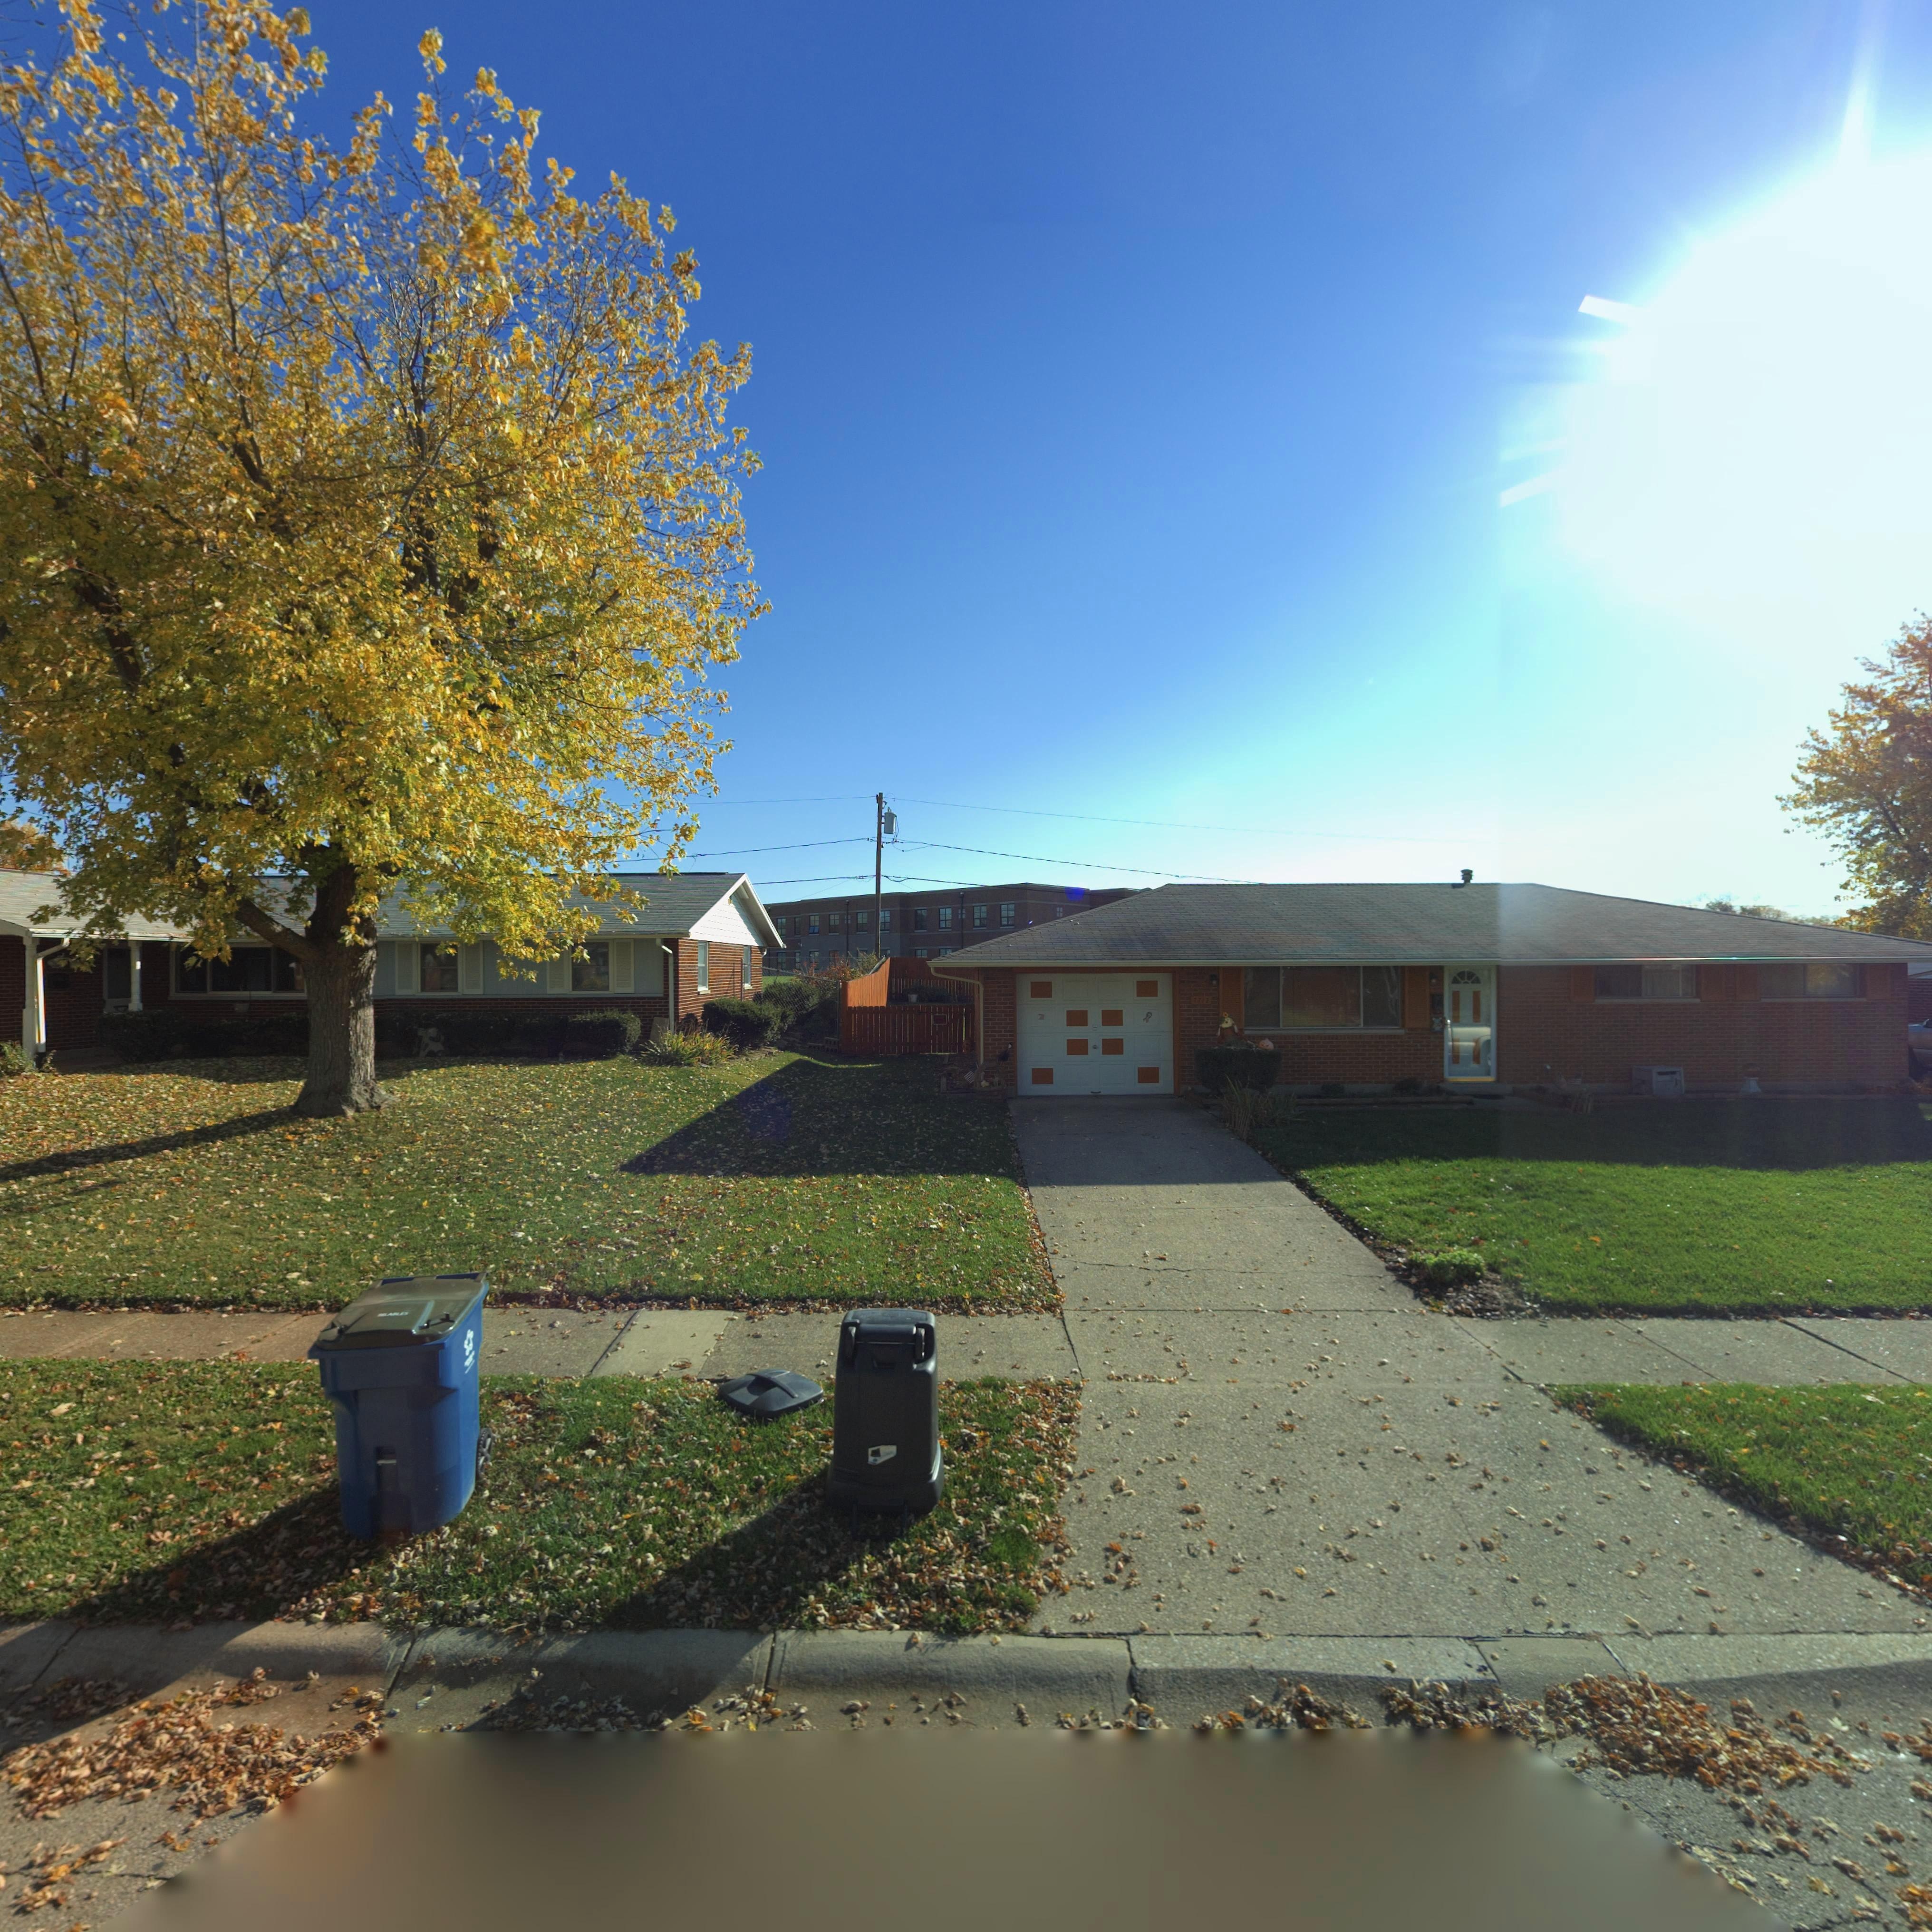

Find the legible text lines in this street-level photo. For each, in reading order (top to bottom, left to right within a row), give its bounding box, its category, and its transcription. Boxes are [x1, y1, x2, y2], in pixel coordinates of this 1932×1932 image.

[1193, 997, 1210, 1004] StreetNumber: 7712